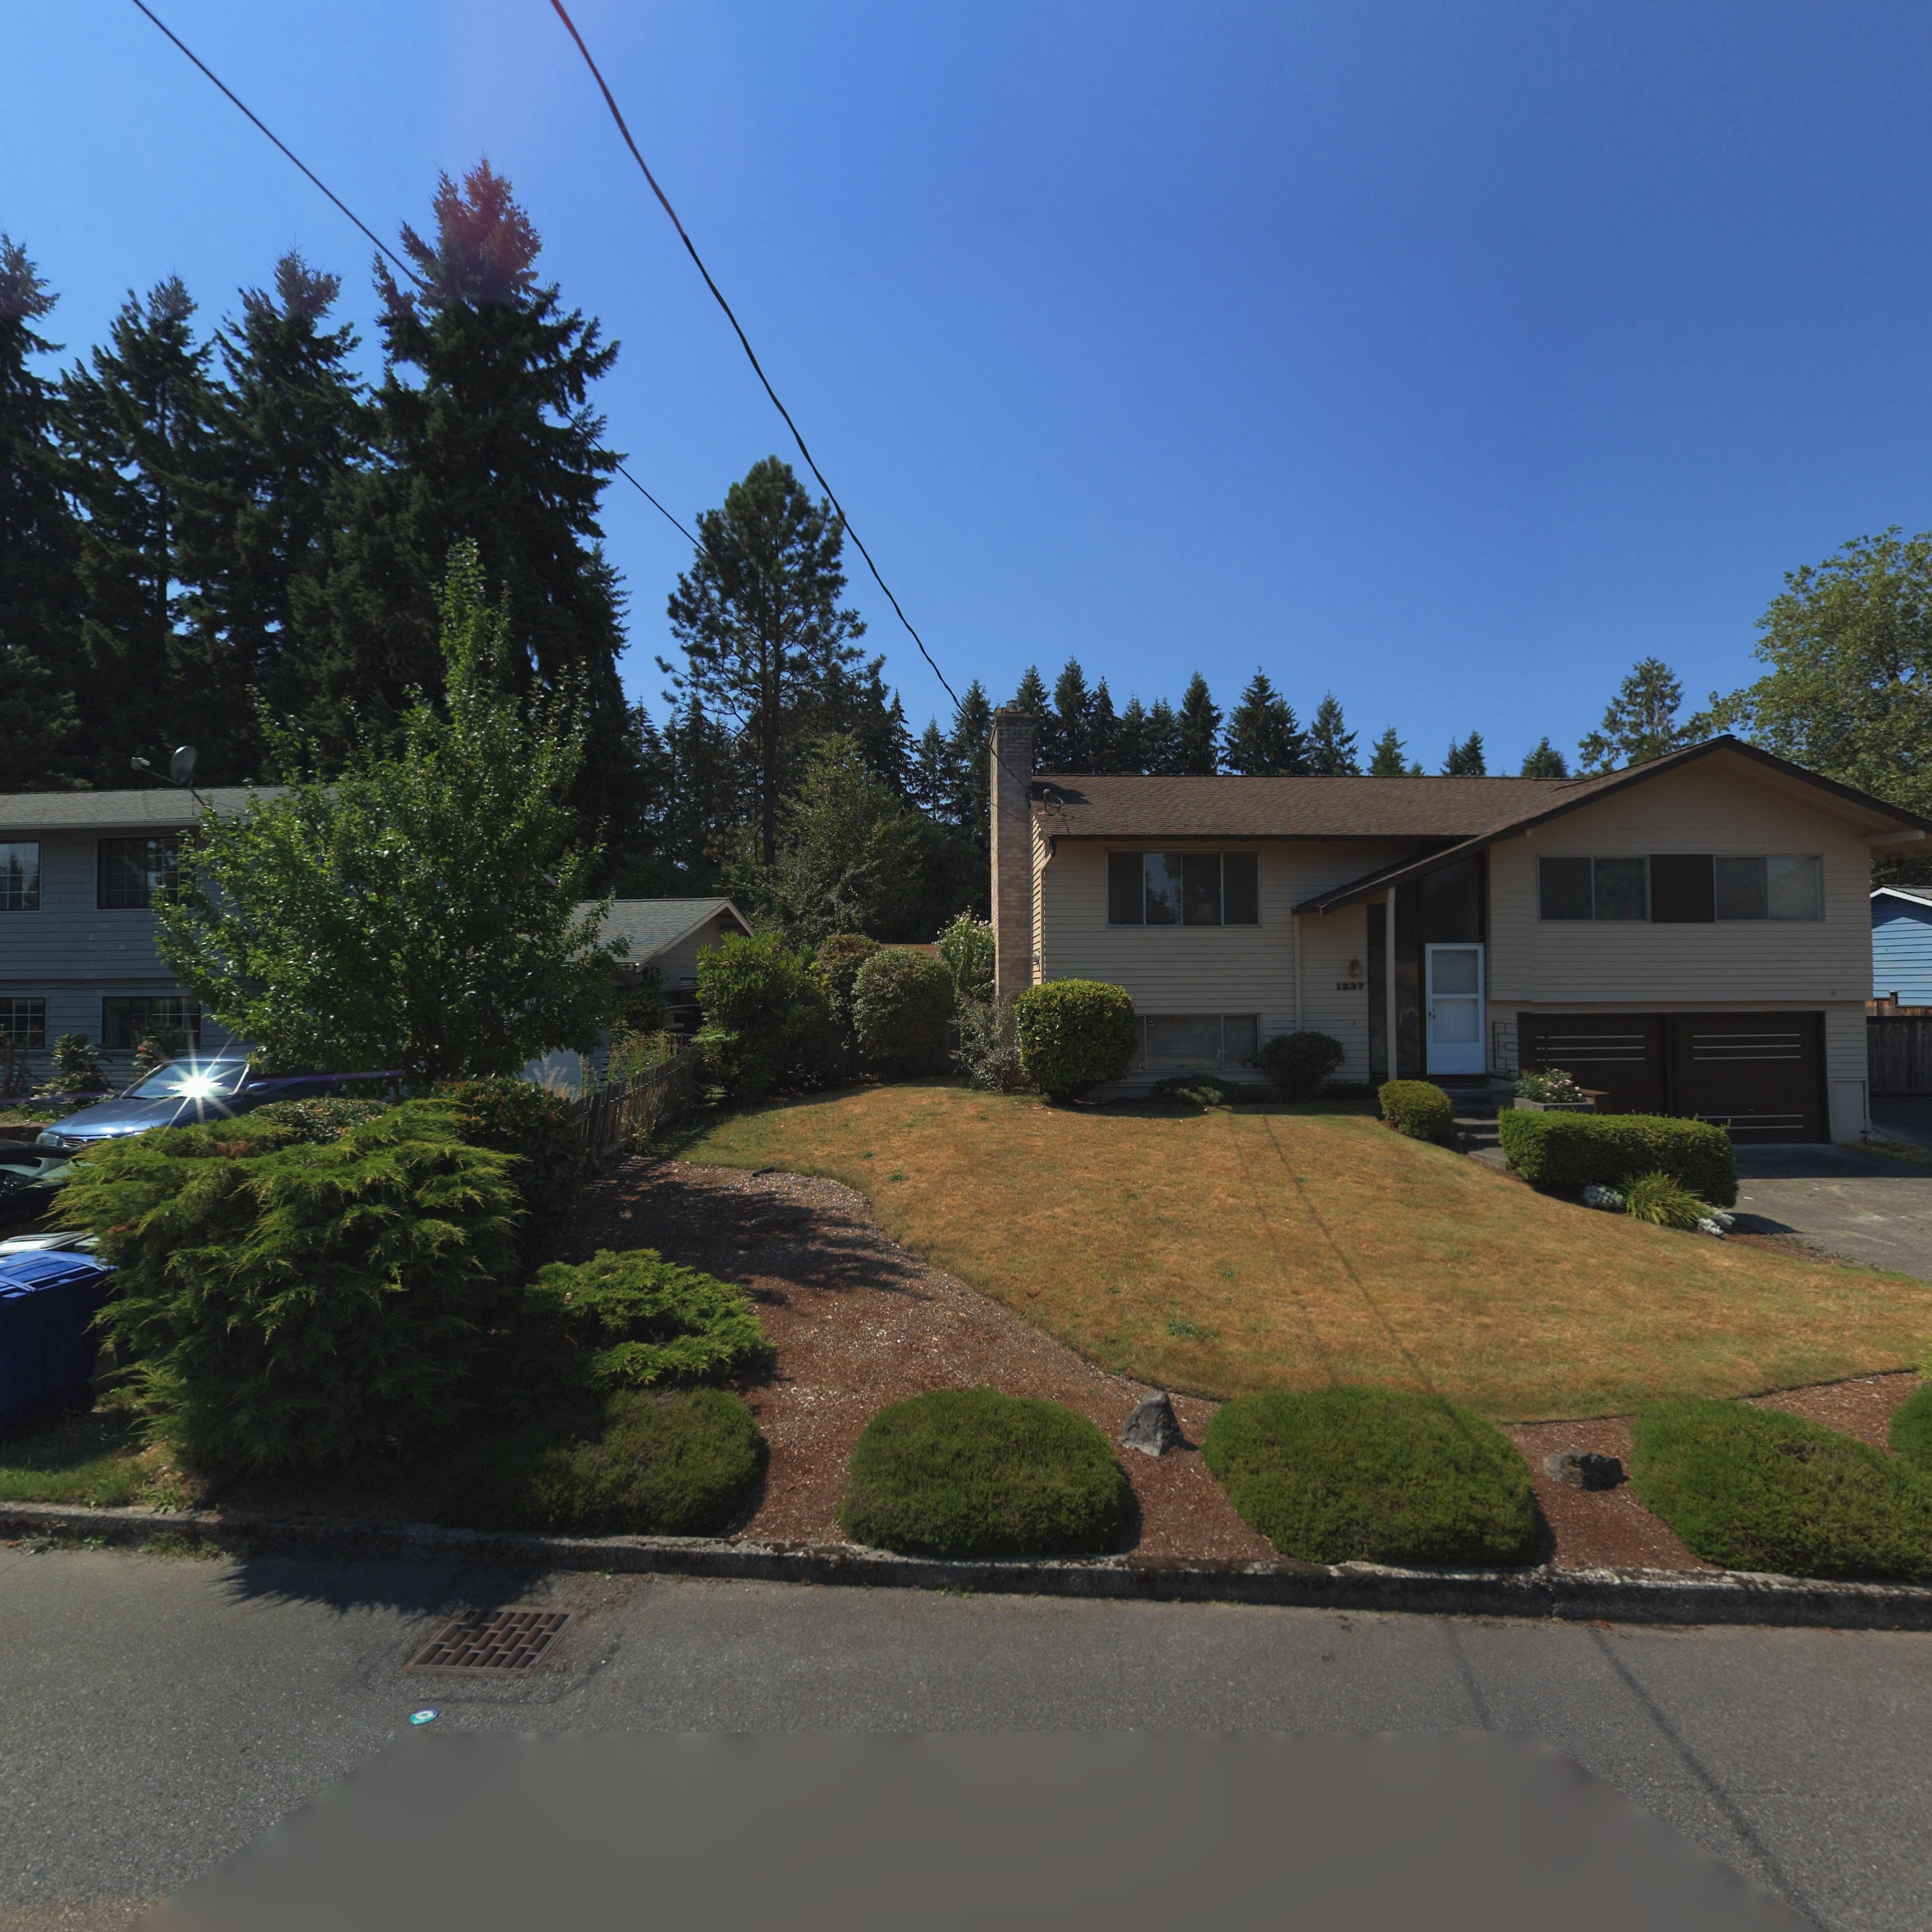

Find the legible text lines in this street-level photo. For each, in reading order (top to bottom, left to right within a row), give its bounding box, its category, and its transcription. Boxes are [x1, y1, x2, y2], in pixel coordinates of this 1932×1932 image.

[1335, 981, 1365, 991] StreetNumber: 1237